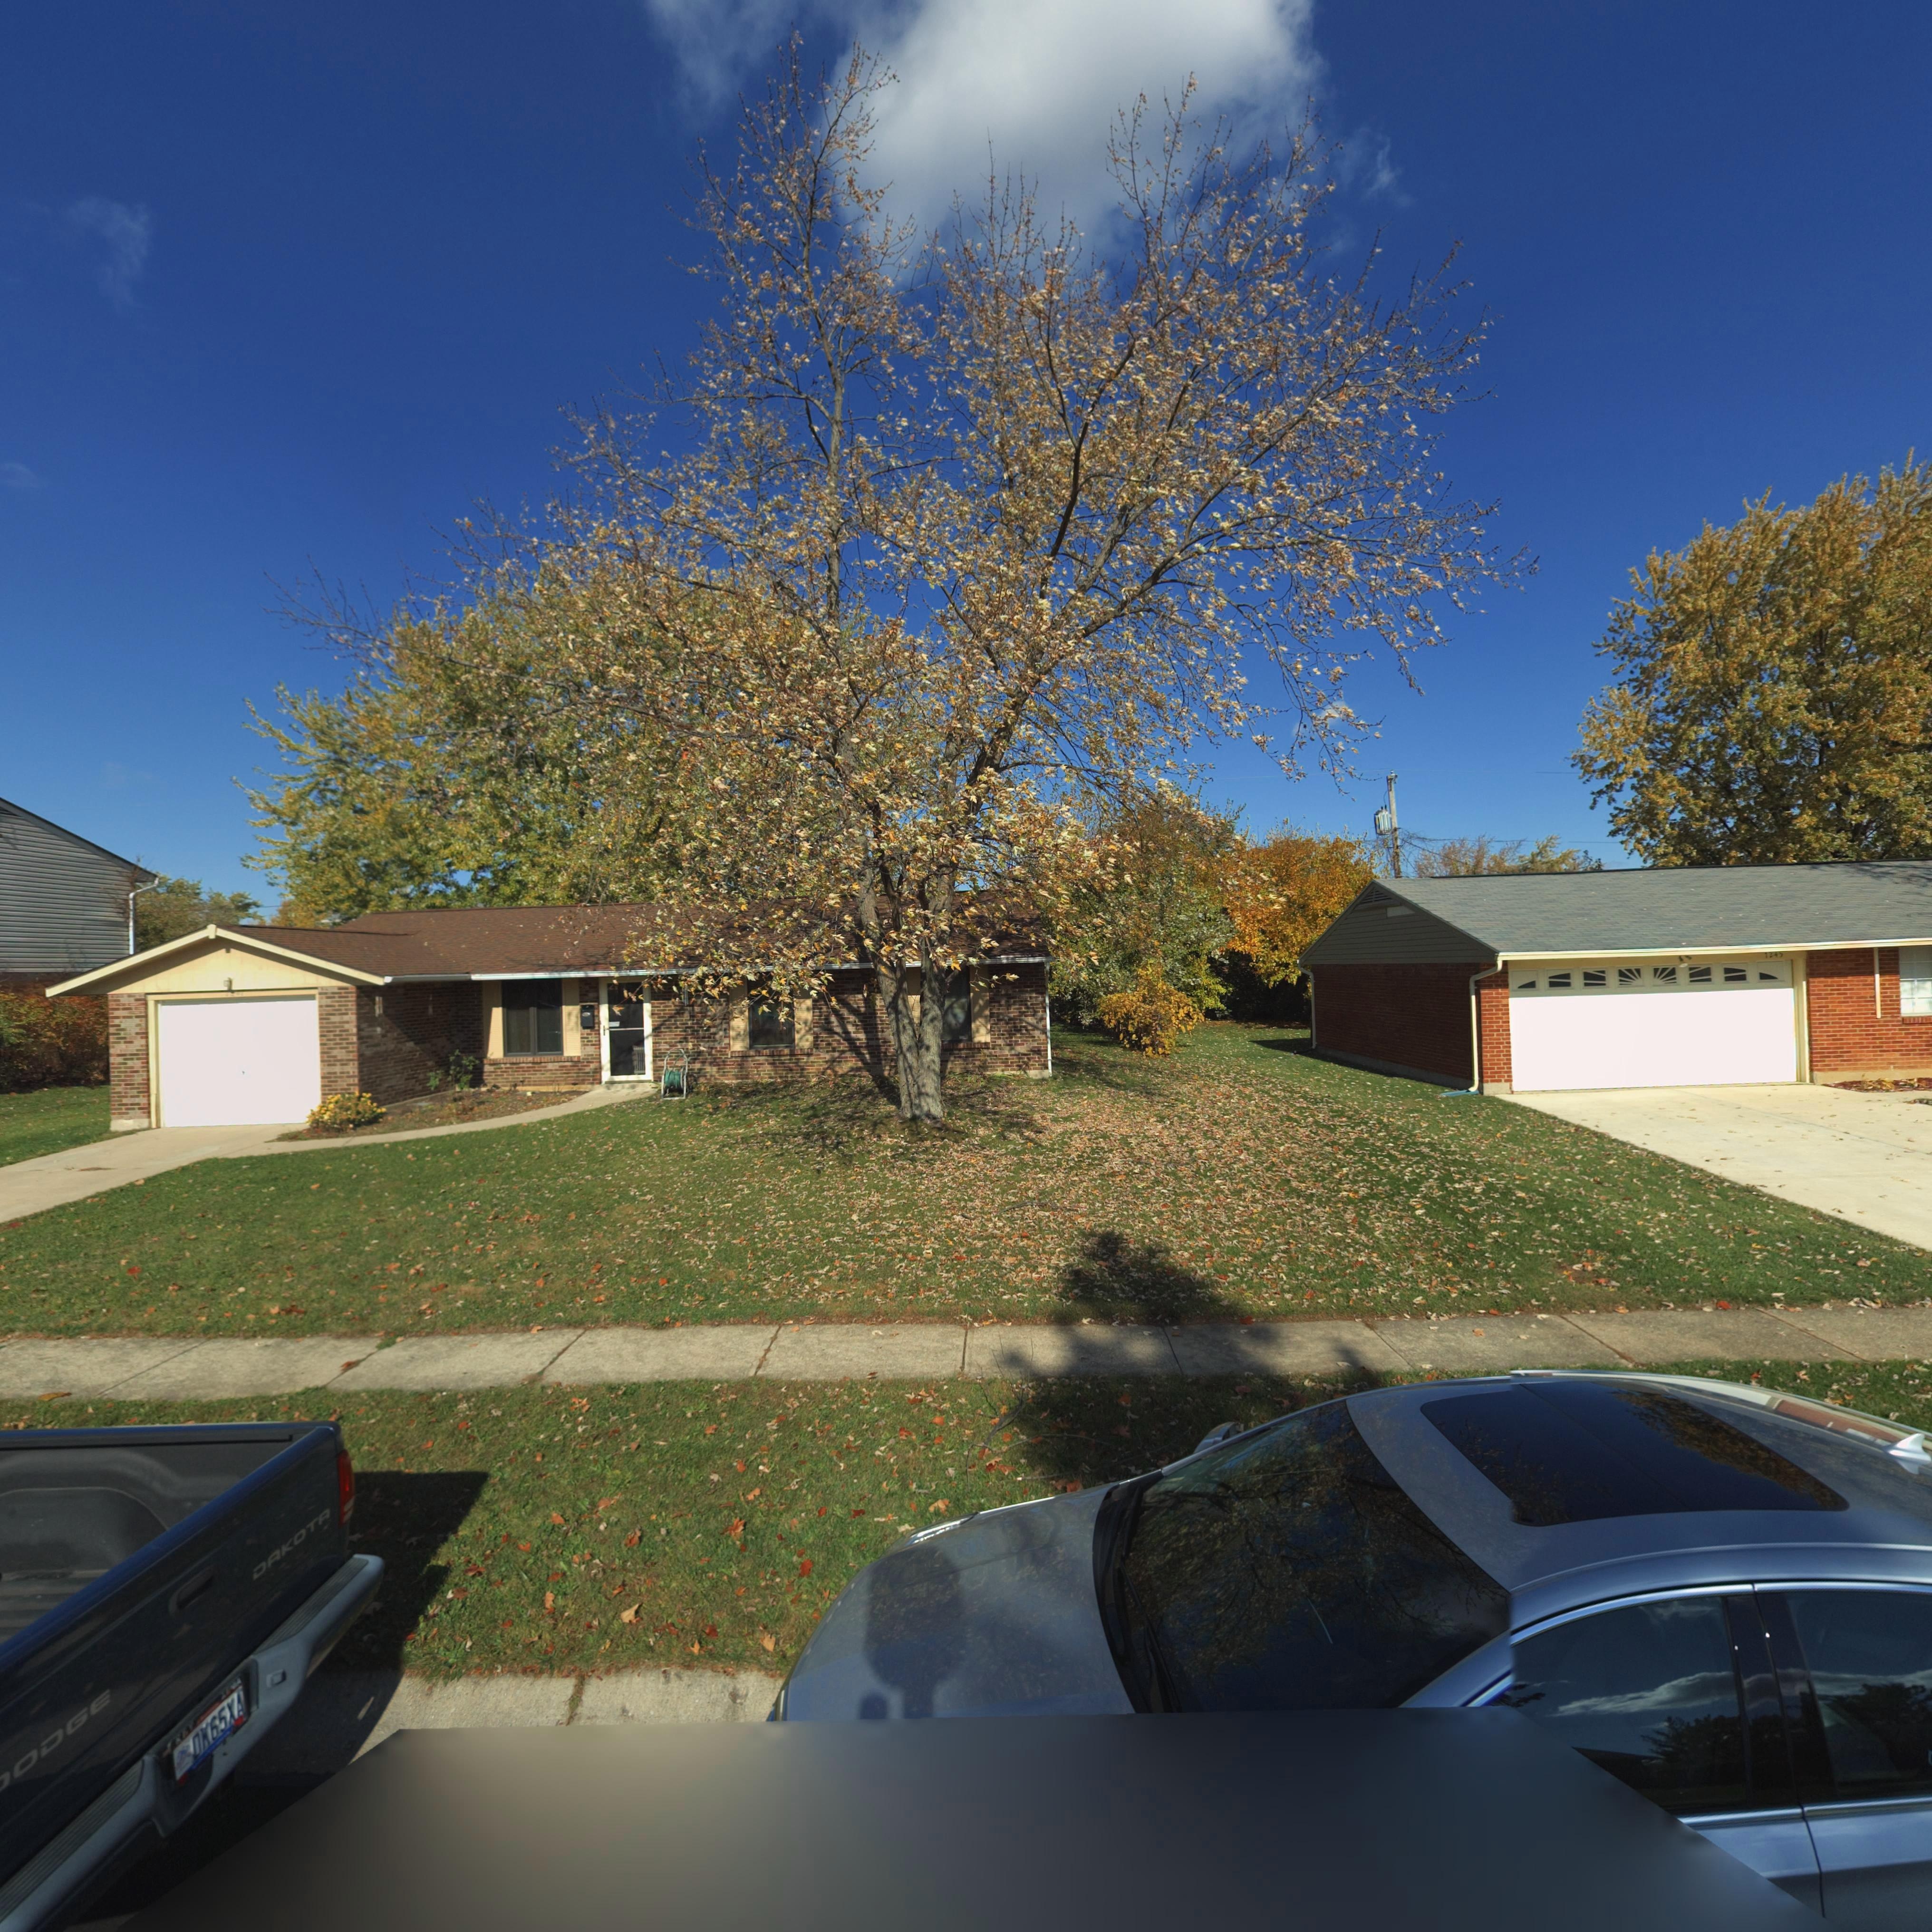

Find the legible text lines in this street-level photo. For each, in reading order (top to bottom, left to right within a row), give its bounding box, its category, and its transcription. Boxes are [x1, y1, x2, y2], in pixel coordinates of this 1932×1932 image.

[1763, 950, 1784, 960] StreetNumber: 72**